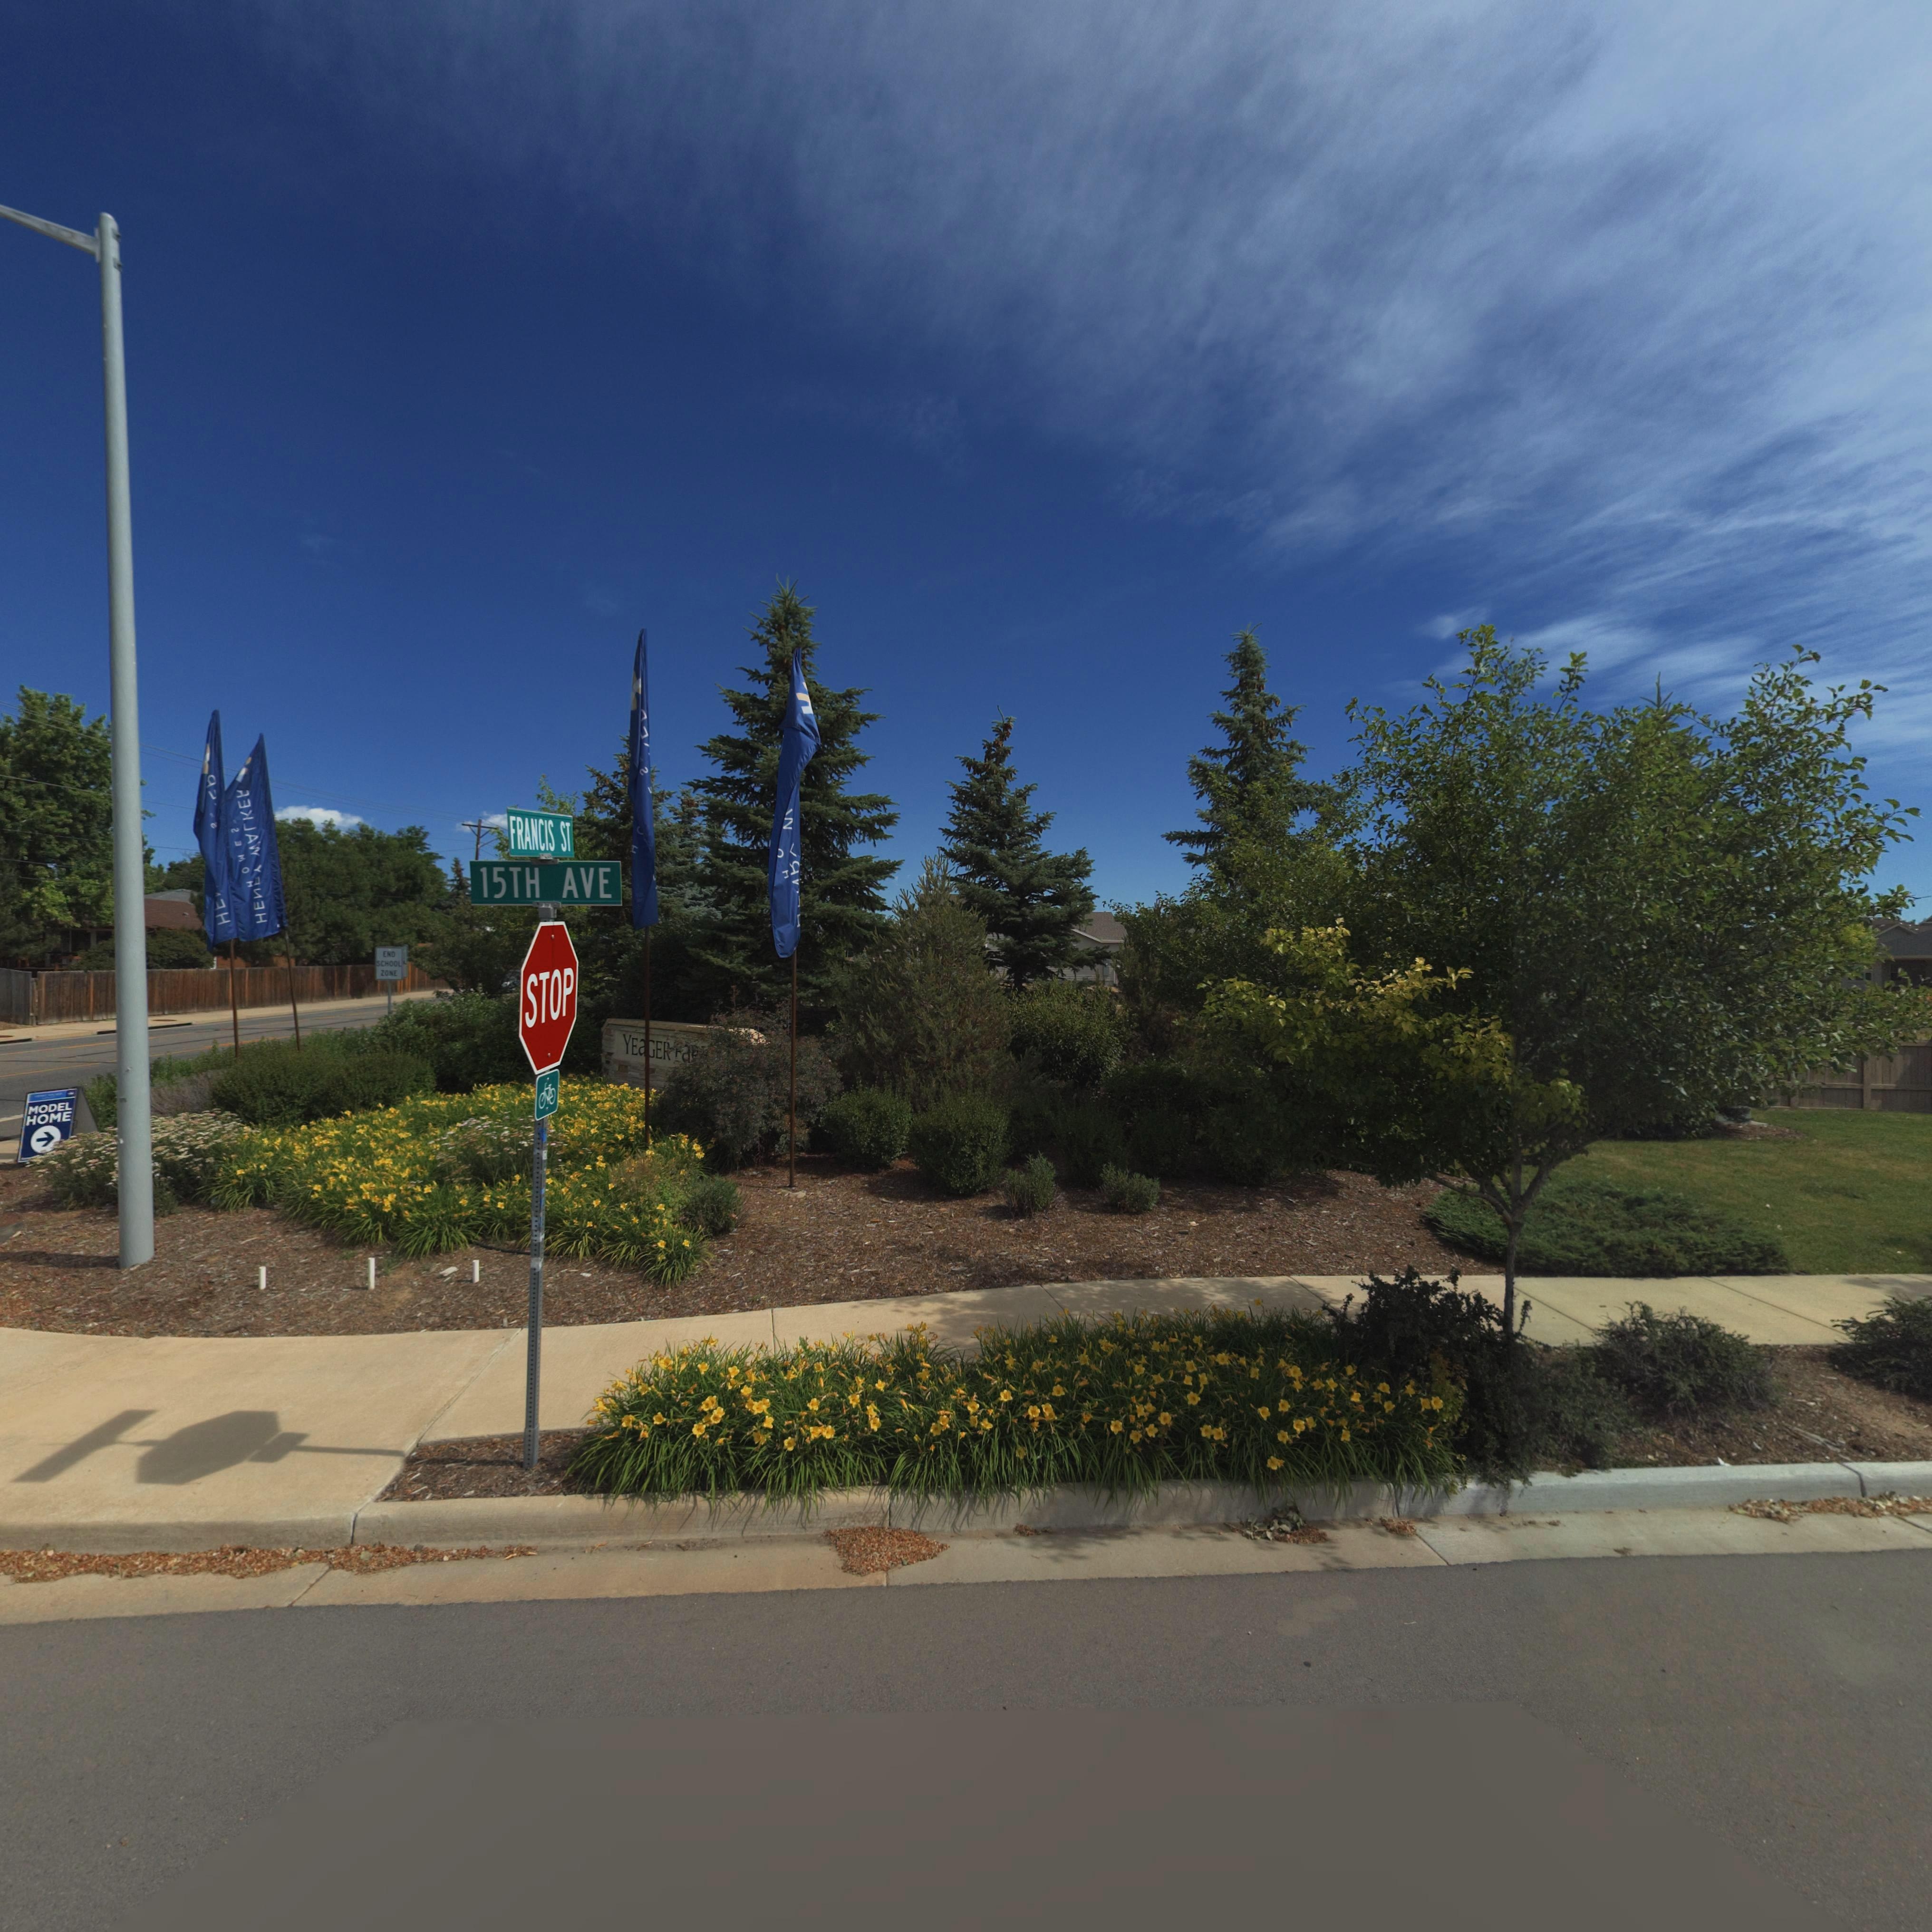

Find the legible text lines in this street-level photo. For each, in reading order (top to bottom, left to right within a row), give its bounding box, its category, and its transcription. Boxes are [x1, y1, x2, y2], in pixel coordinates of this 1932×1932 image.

[509, 815, 570, 852] StreetName: FRANCIS ST
[479, 865, 613, 899] StreetName: 15TH AVE